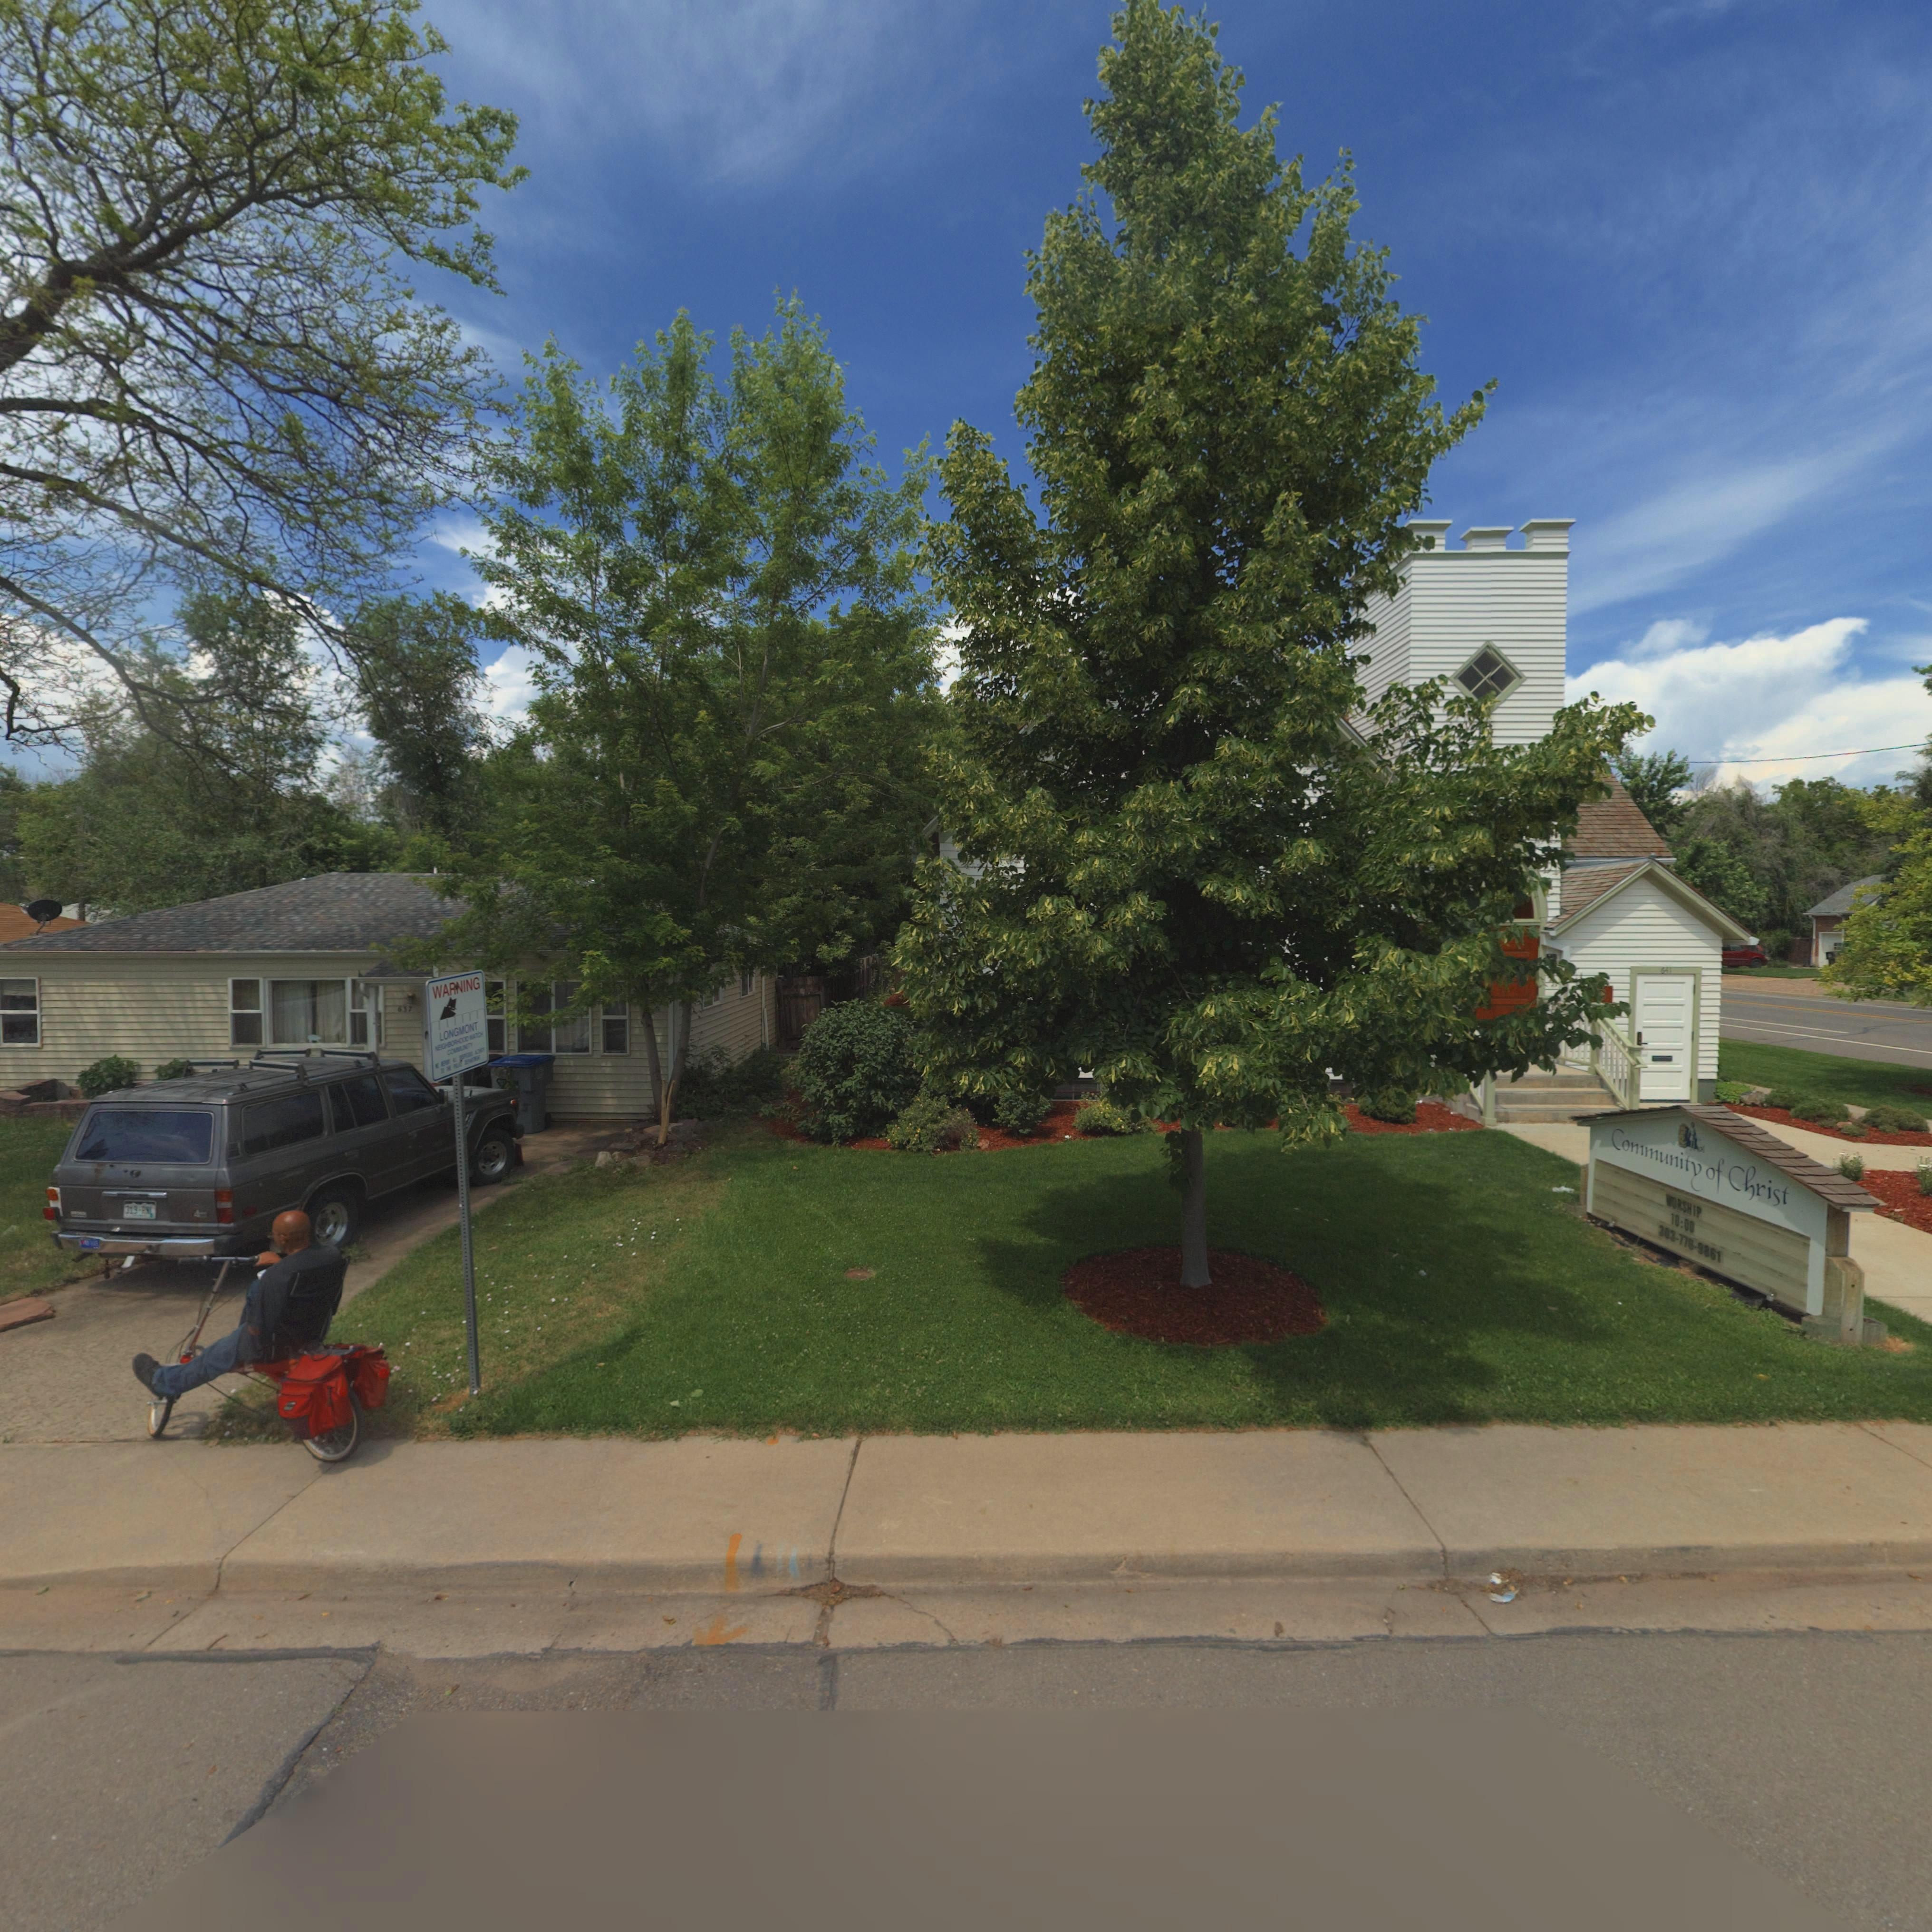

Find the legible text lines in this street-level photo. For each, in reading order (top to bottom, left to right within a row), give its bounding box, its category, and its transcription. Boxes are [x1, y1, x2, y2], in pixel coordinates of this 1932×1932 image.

[1660, 966, 1671, 974] StreetNumber: 641
[396, 1005, 412, 1013] StreetNumber: 637
[1611, 1127, 1790, 1207] BusinessName: Community of Christ